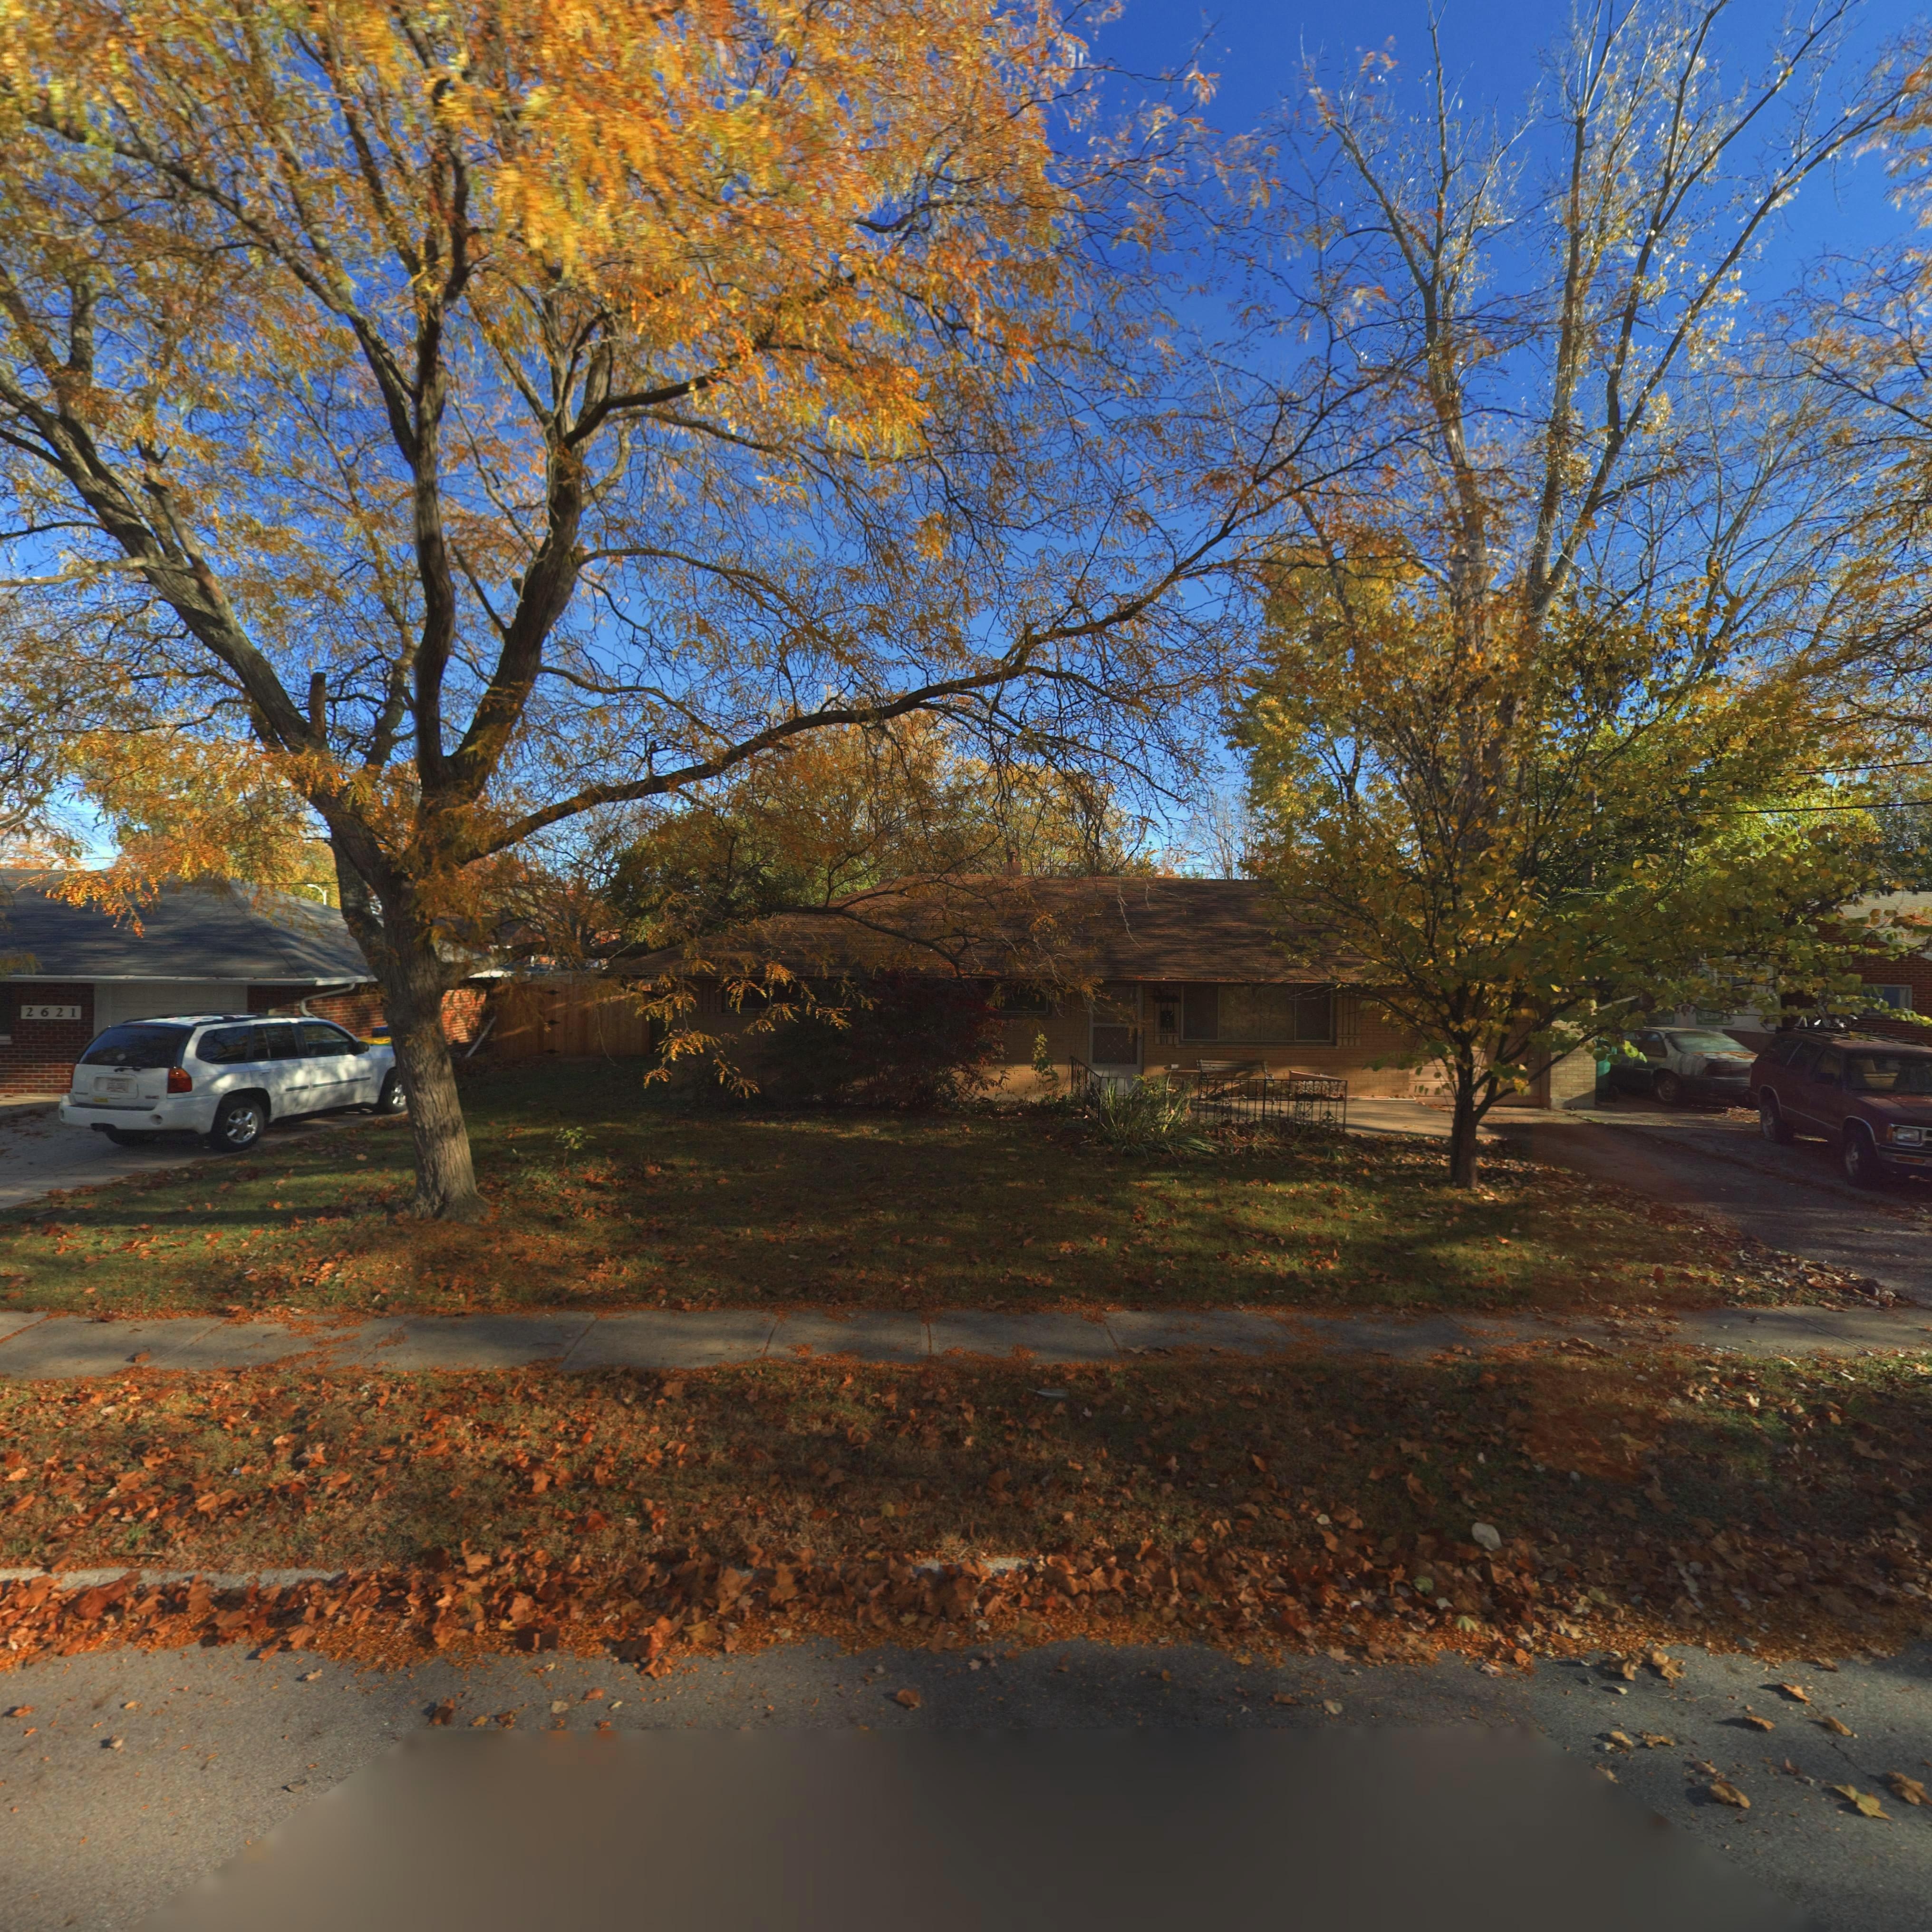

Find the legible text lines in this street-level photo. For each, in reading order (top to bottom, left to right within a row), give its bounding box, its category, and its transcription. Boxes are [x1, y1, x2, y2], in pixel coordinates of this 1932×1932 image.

[24, 1006, 76, 1017] StreetNumber: 2621